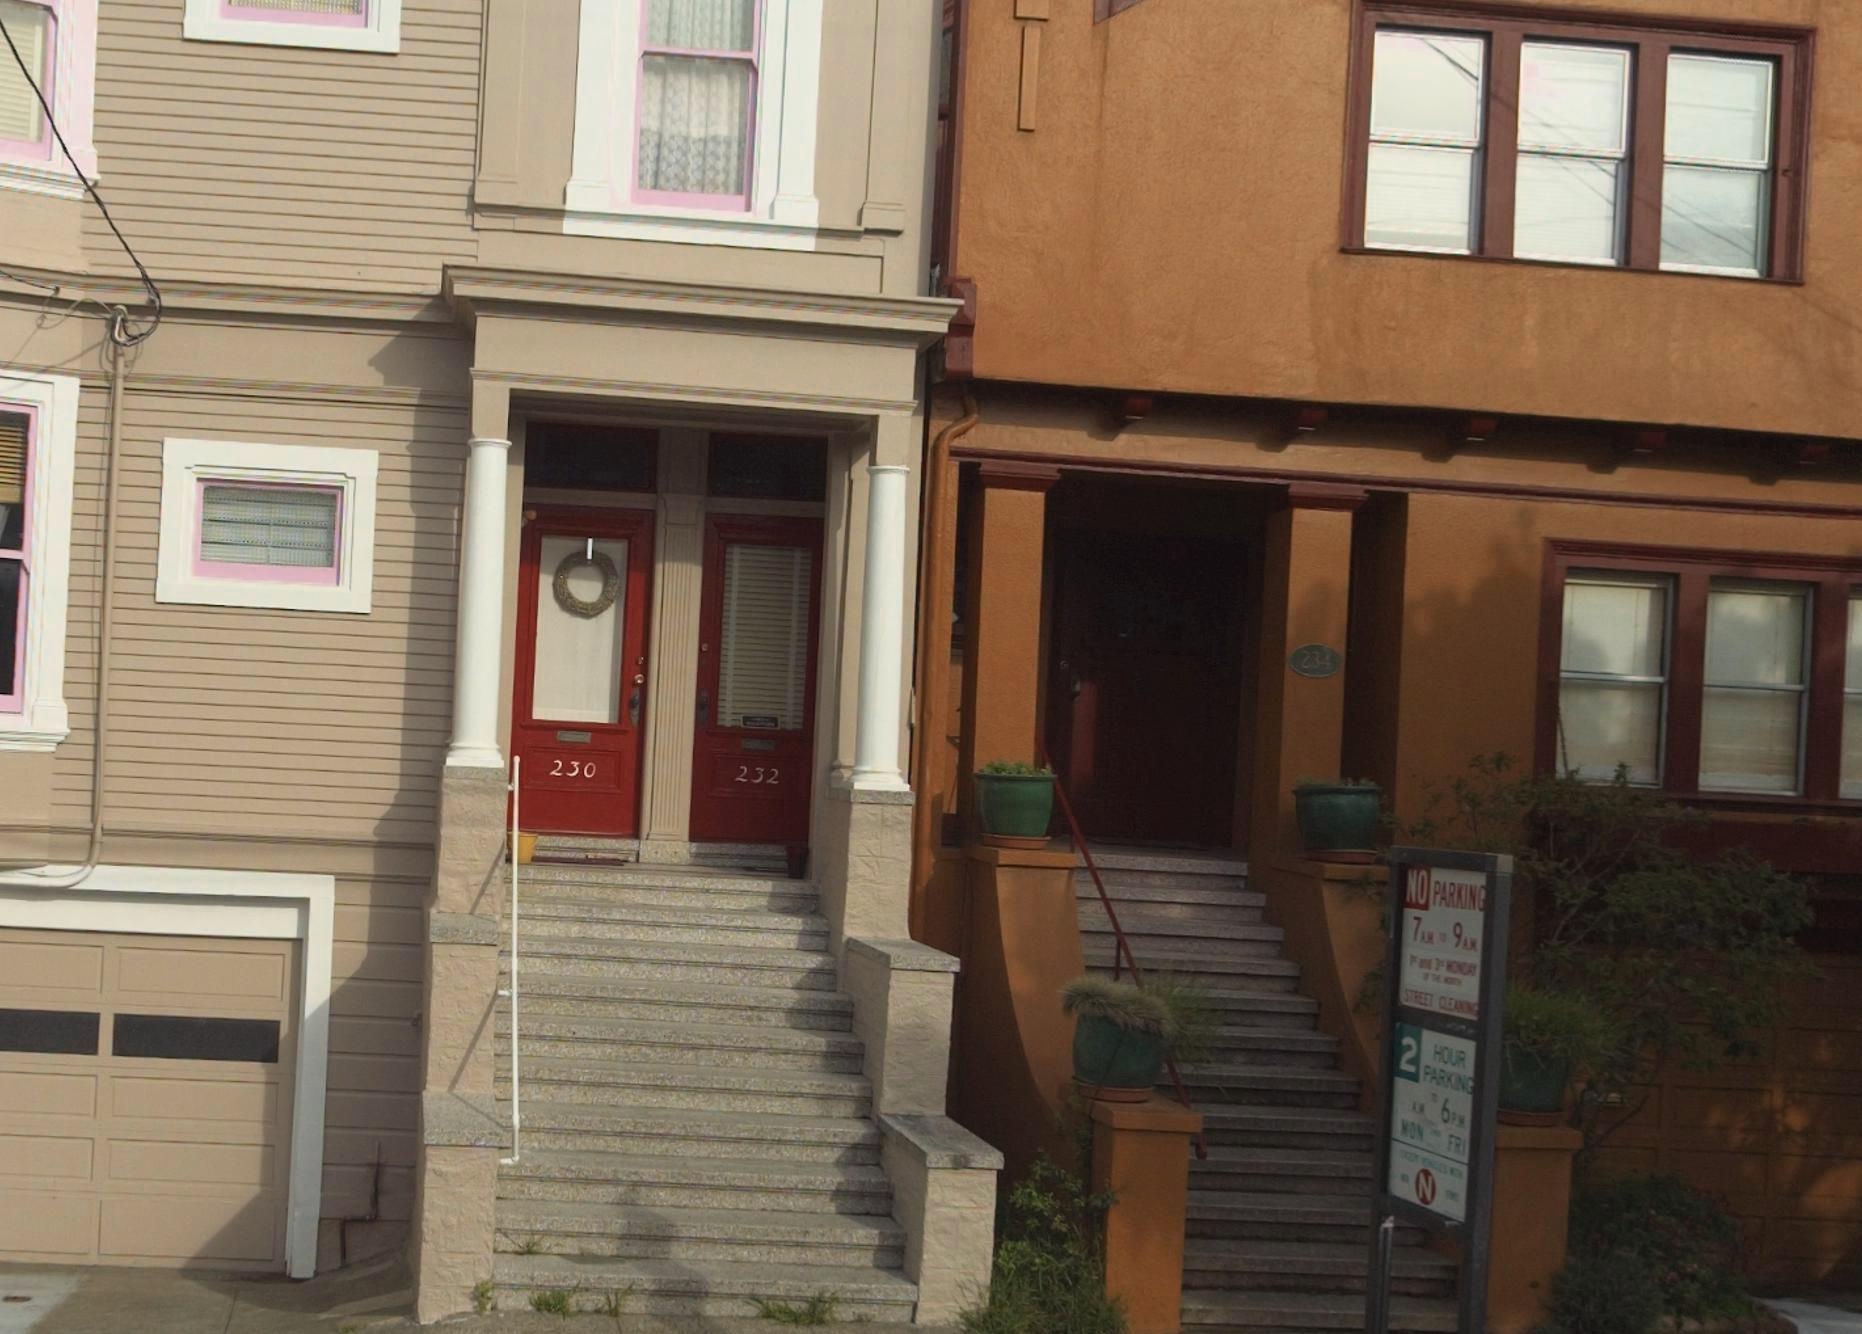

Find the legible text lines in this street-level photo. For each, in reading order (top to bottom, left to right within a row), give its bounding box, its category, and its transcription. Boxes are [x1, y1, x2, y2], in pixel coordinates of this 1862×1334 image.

[1299, 649, 1332, 671] StreetNumber: 234
[546, 758, 598, 780] StreetNumber: 230
[733, 765, 780, 785] StreetNumber: 232
[1404, 867, 1486, 913] None: NO PARKING
[1411, 915, 1435, 945] None: 7AM
[1452, 920, 1478, 953] None: 9AM
[1445, 958, 1478, 978] None: MONDAY
[1403, 987, 1479, 1018] None: STREET CLEANING
[1397, 1035, 1419, 1075] None: 2
[1433, 1042, 1467, 1070] None: HOUR
[1422, 1063, 1476, 1097] None: PARKING
[1439, 1096, 1453, 1125] None: 6
[1400, 1117, 1424, 1144] None: MON
[1445, 1132, 1467, 1158] None: FRI
[1417, 1171, 1433, 1204] None: N